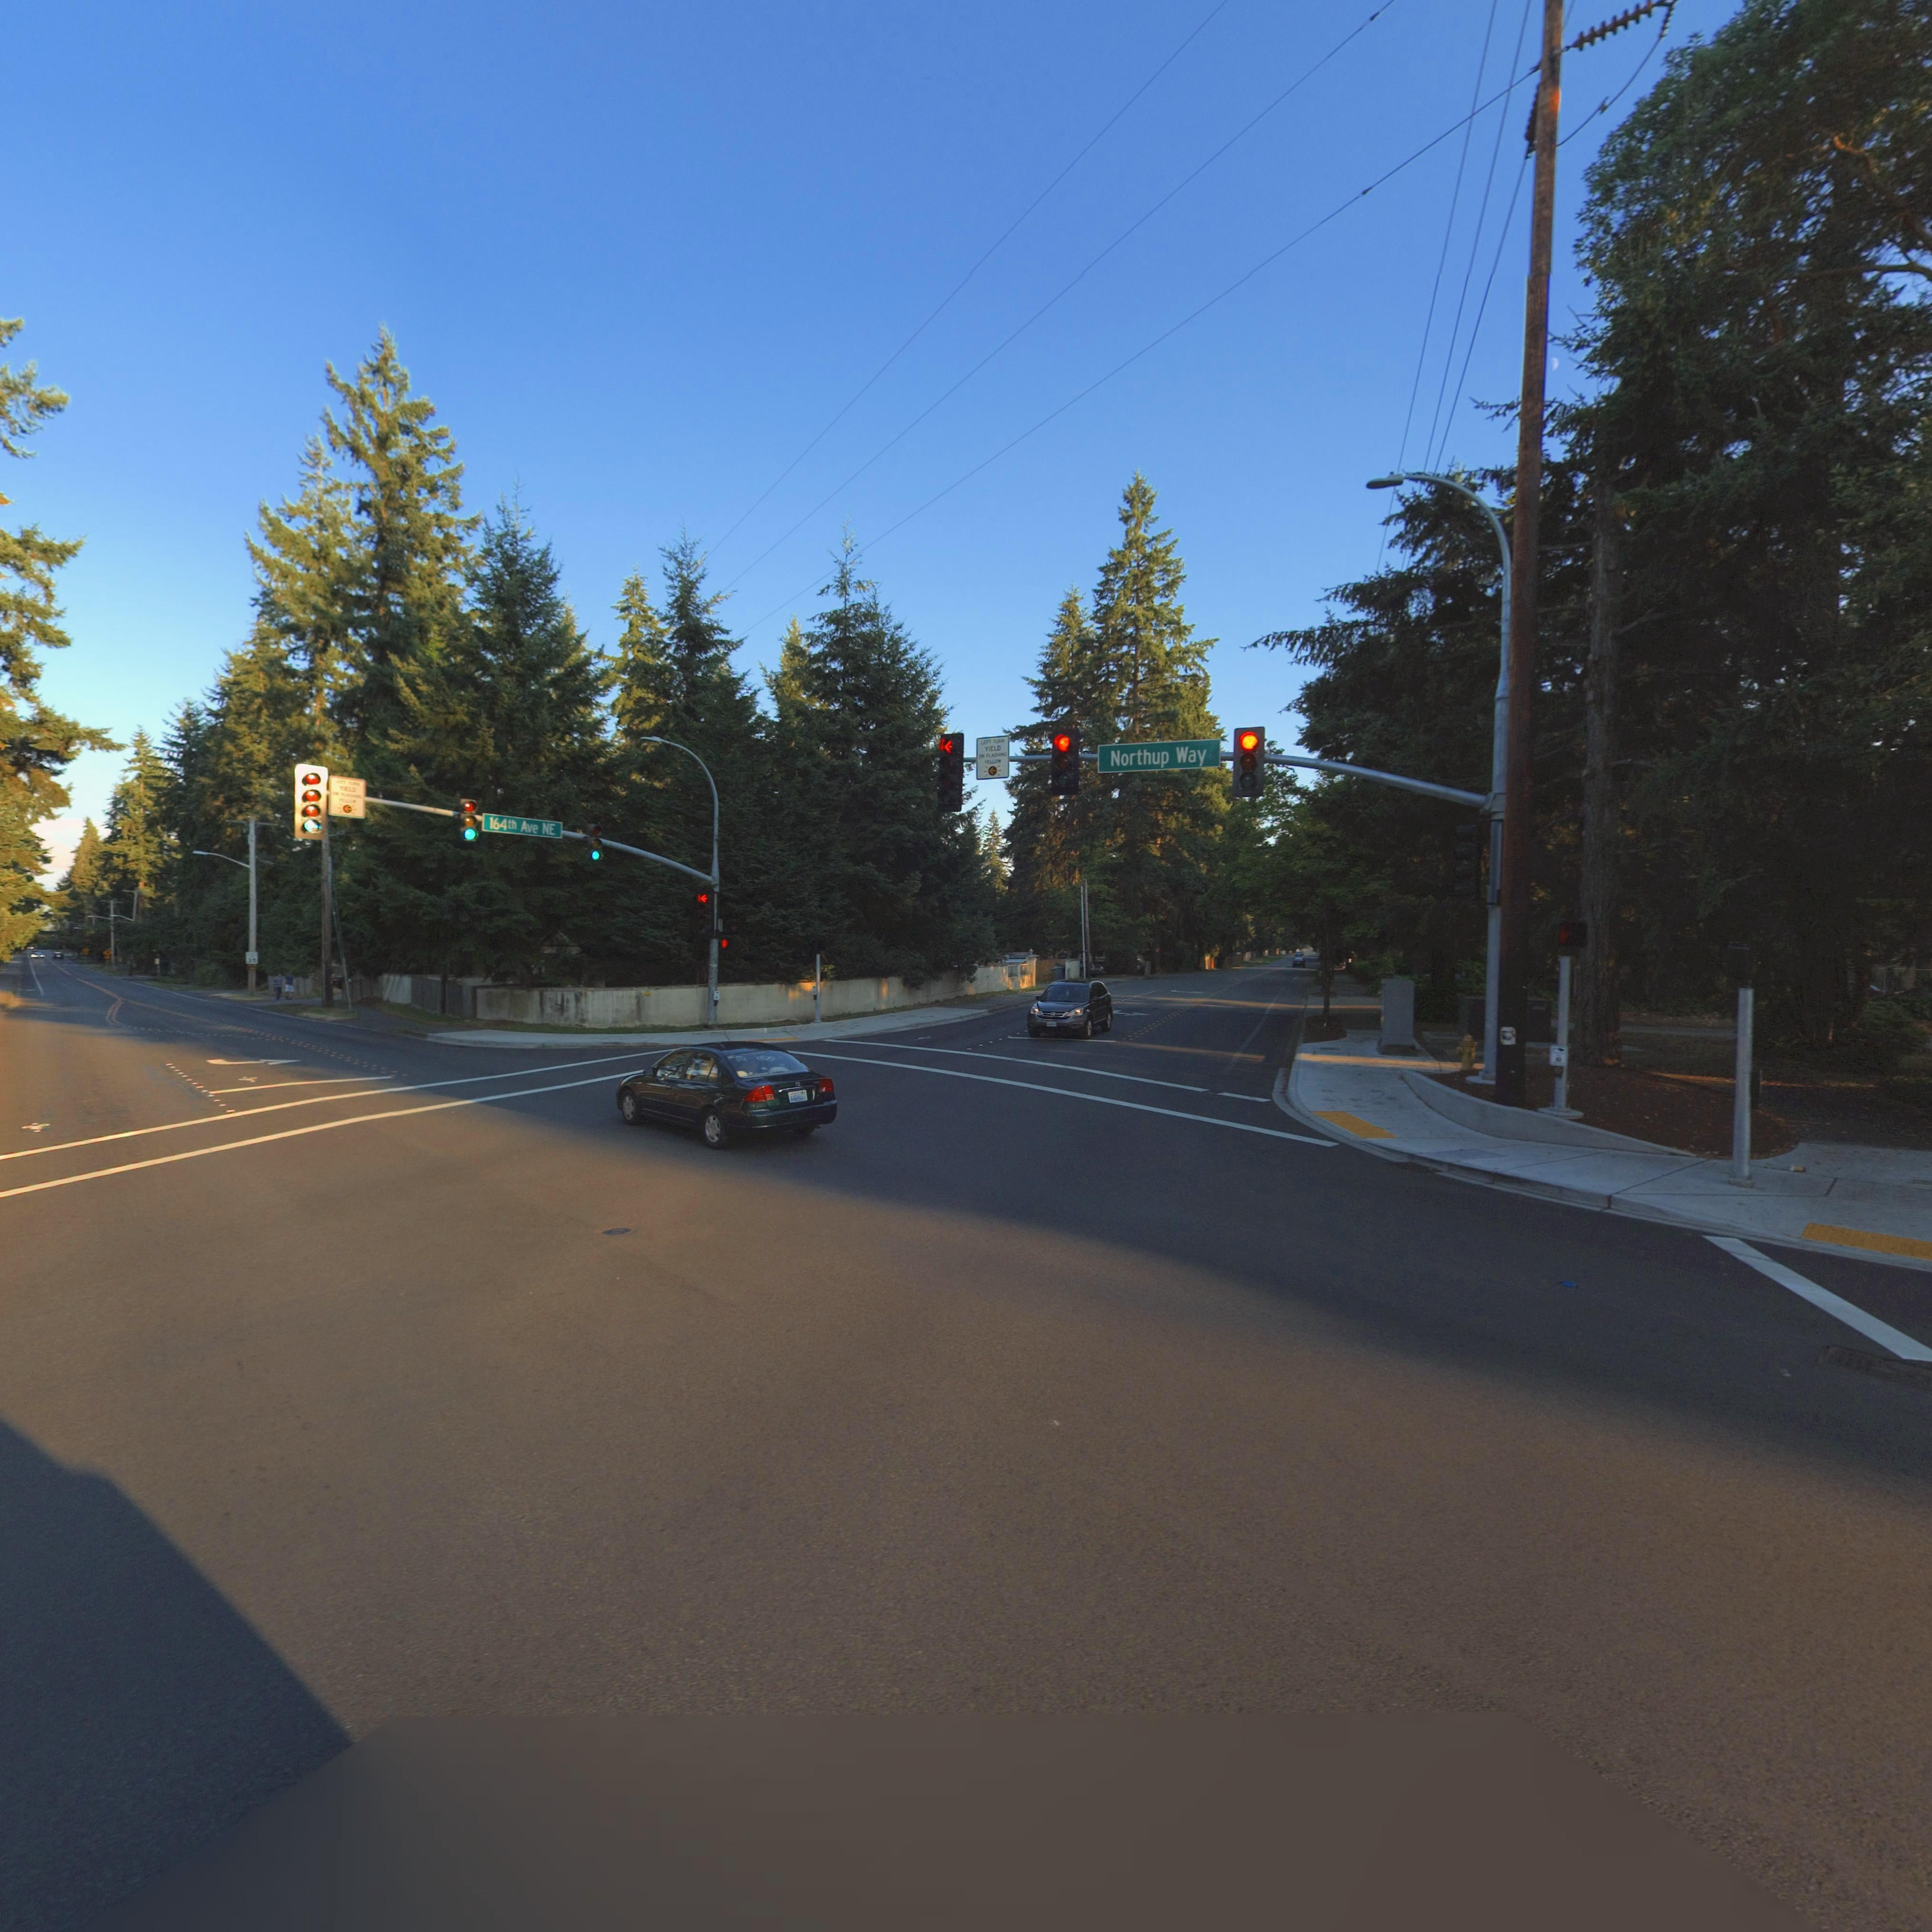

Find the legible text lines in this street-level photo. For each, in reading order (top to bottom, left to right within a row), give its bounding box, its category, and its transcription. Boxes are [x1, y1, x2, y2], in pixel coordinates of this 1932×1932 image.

[1111, 745, 1206, 768] StreetName: Northup Way
[490, 817, 555, 835] StreetName: 164th Ave NE